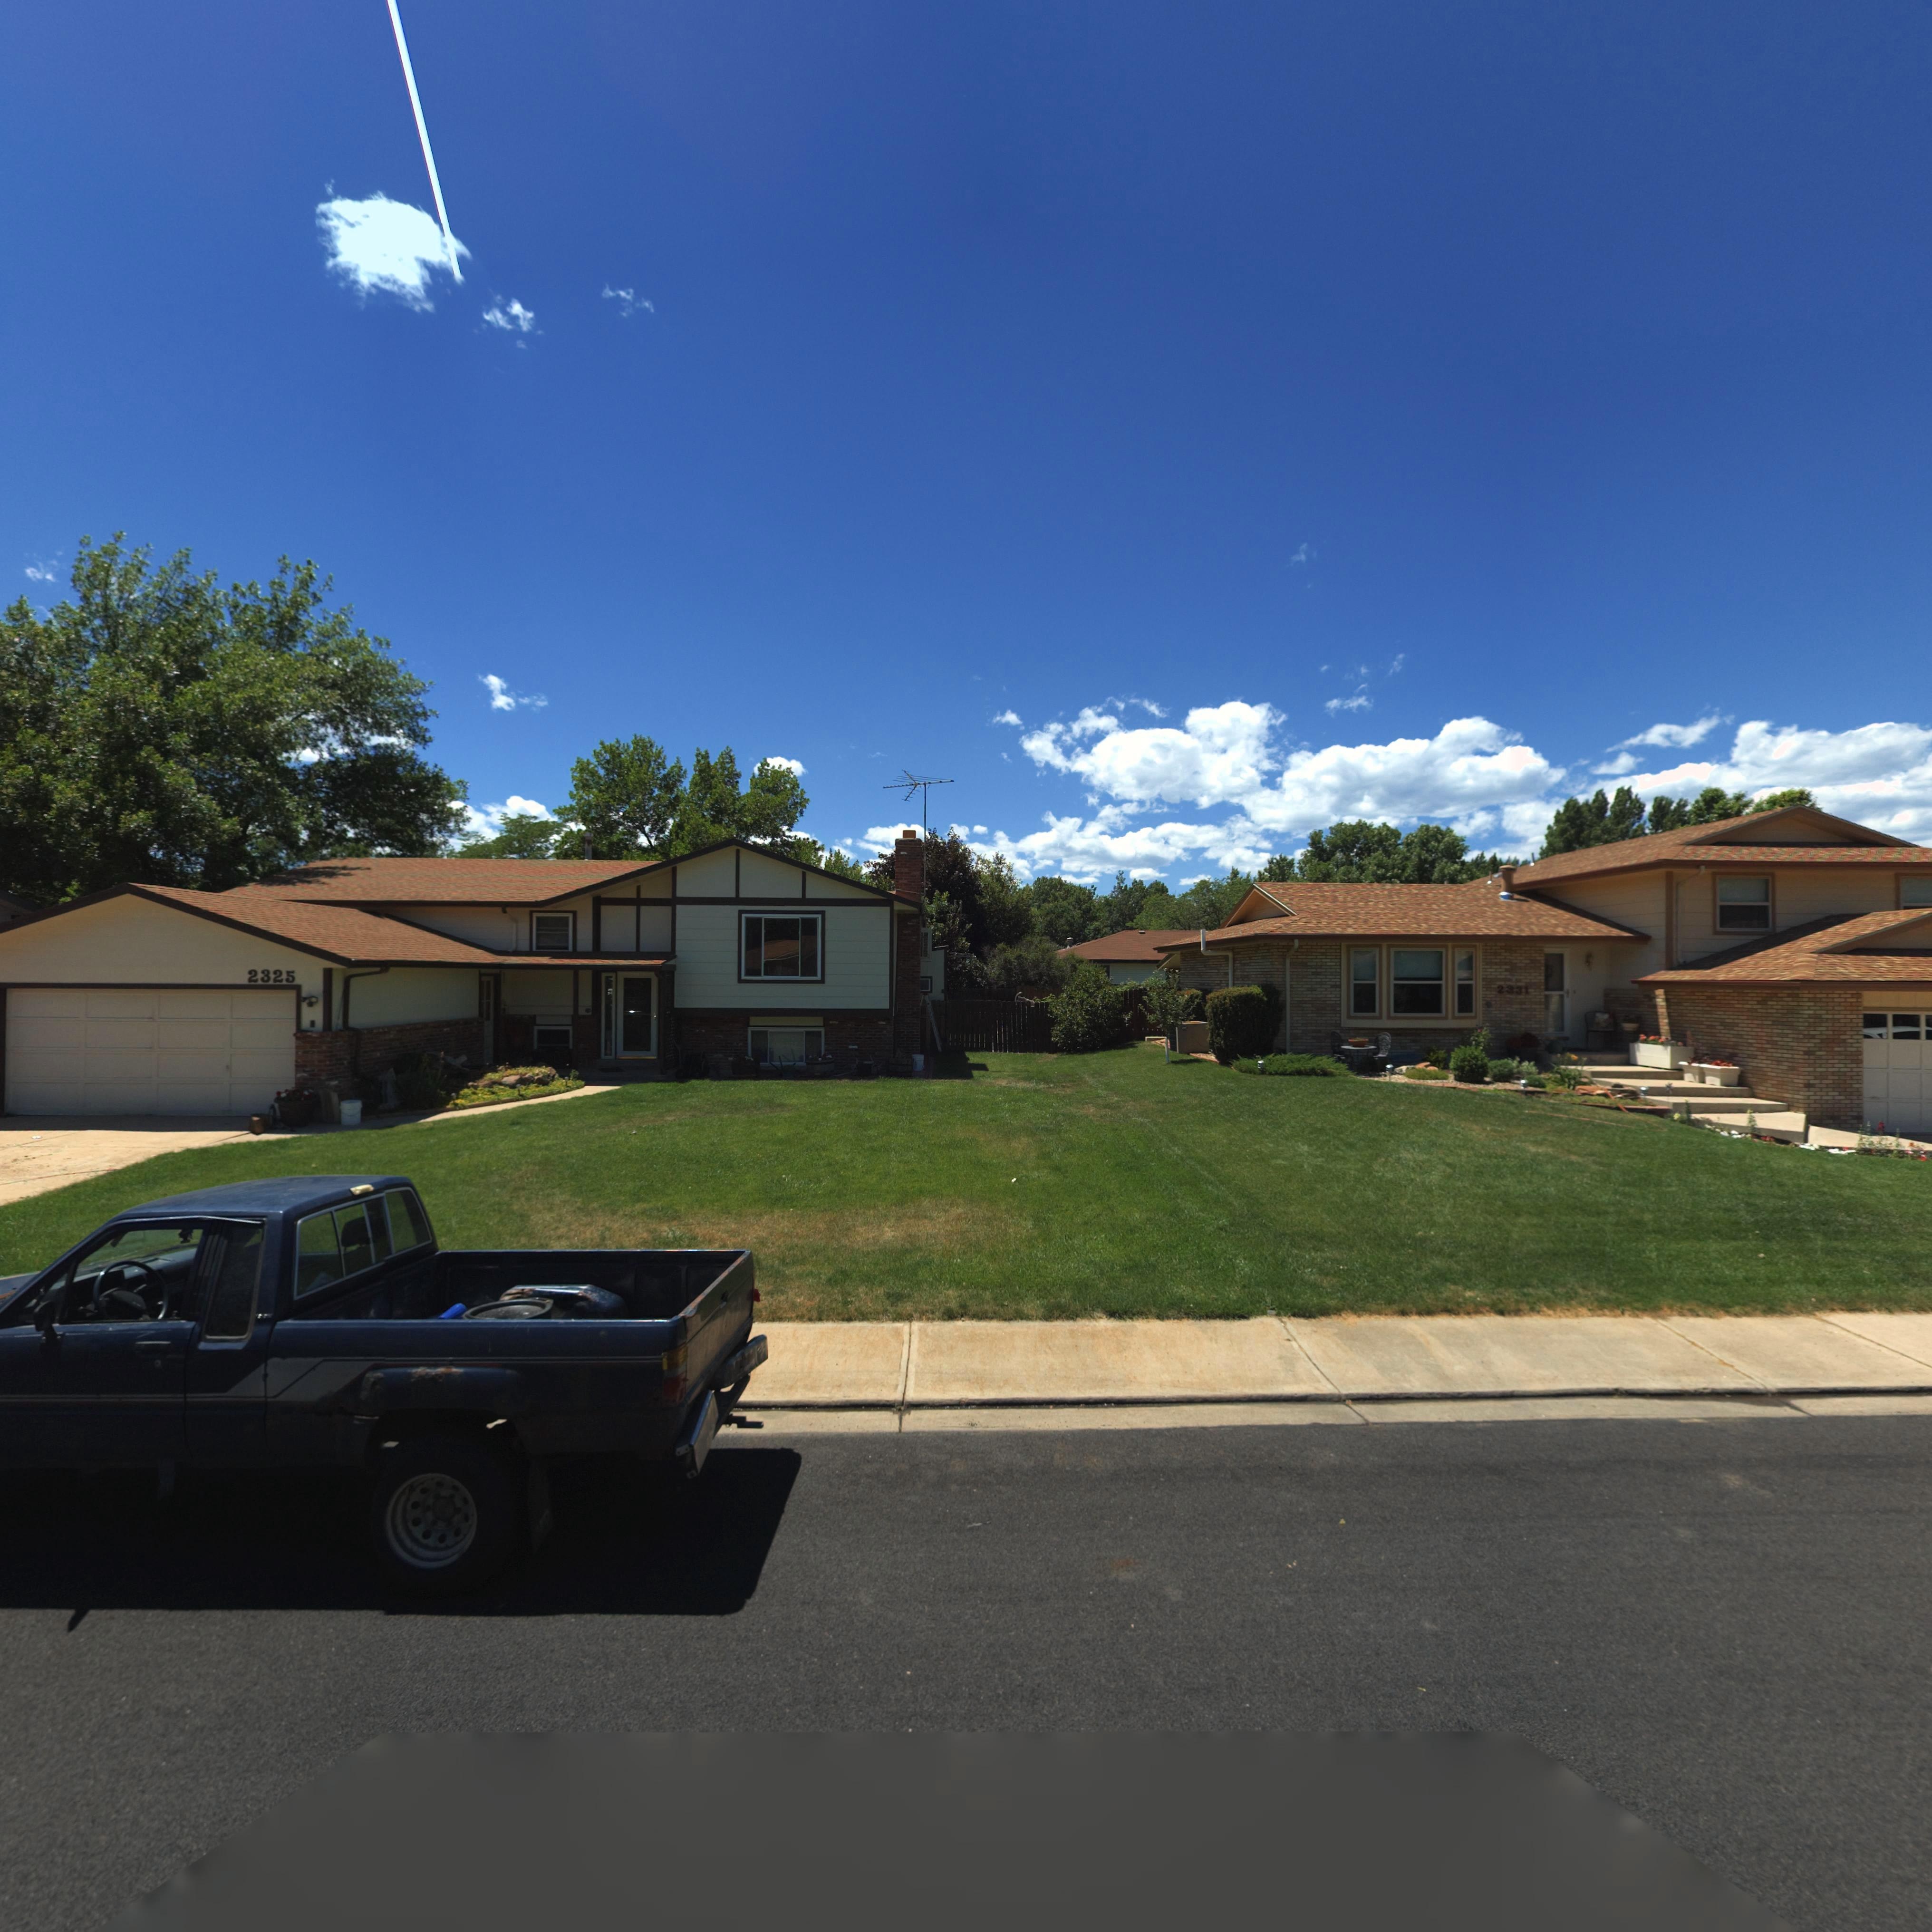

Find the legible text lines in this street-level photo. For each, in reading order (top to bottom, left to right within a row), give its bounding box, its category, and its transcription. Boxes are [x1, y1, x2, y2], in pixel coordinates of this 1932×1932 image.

[247, 968, 295, 983] StreetNumber: 2325
[1496, 984, 1529, 995] StreetNumber: 2331